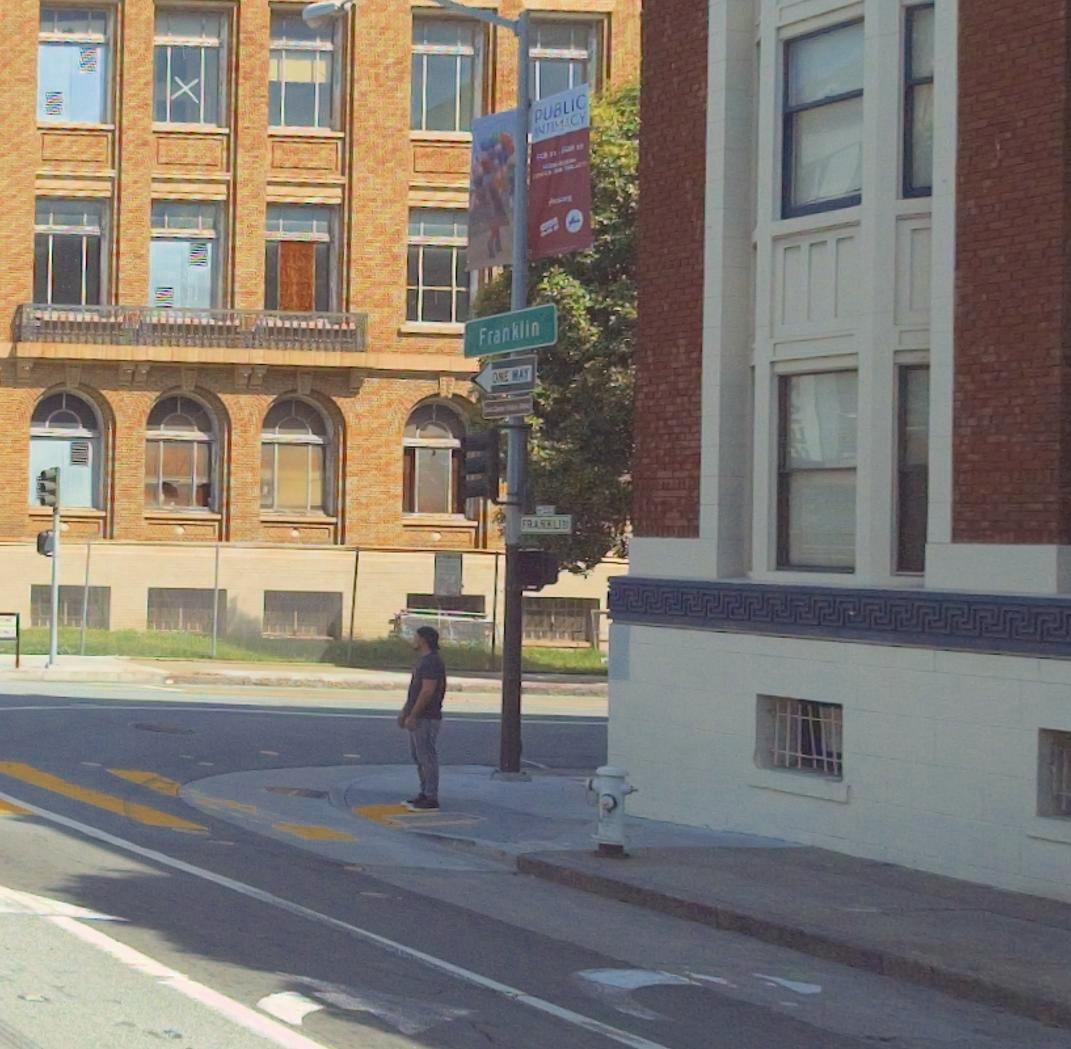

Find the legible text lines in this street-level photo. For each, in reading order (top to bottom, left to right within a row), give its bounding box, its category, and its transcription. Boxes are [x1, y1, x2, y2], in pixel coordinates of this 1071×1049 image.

[534, 92, 589, 125] None: PUBLIC
[533, 111, 588, 142] None: INTIMACY
[478, 315, 541, 346] StreetName: Franklin
[491, 365, 530, 384] None: ONE WAY
[535, 505, 554, 515] StreetNumberRange: <-200
[522, 518, 571, 531] StreetName: FRANKLIN